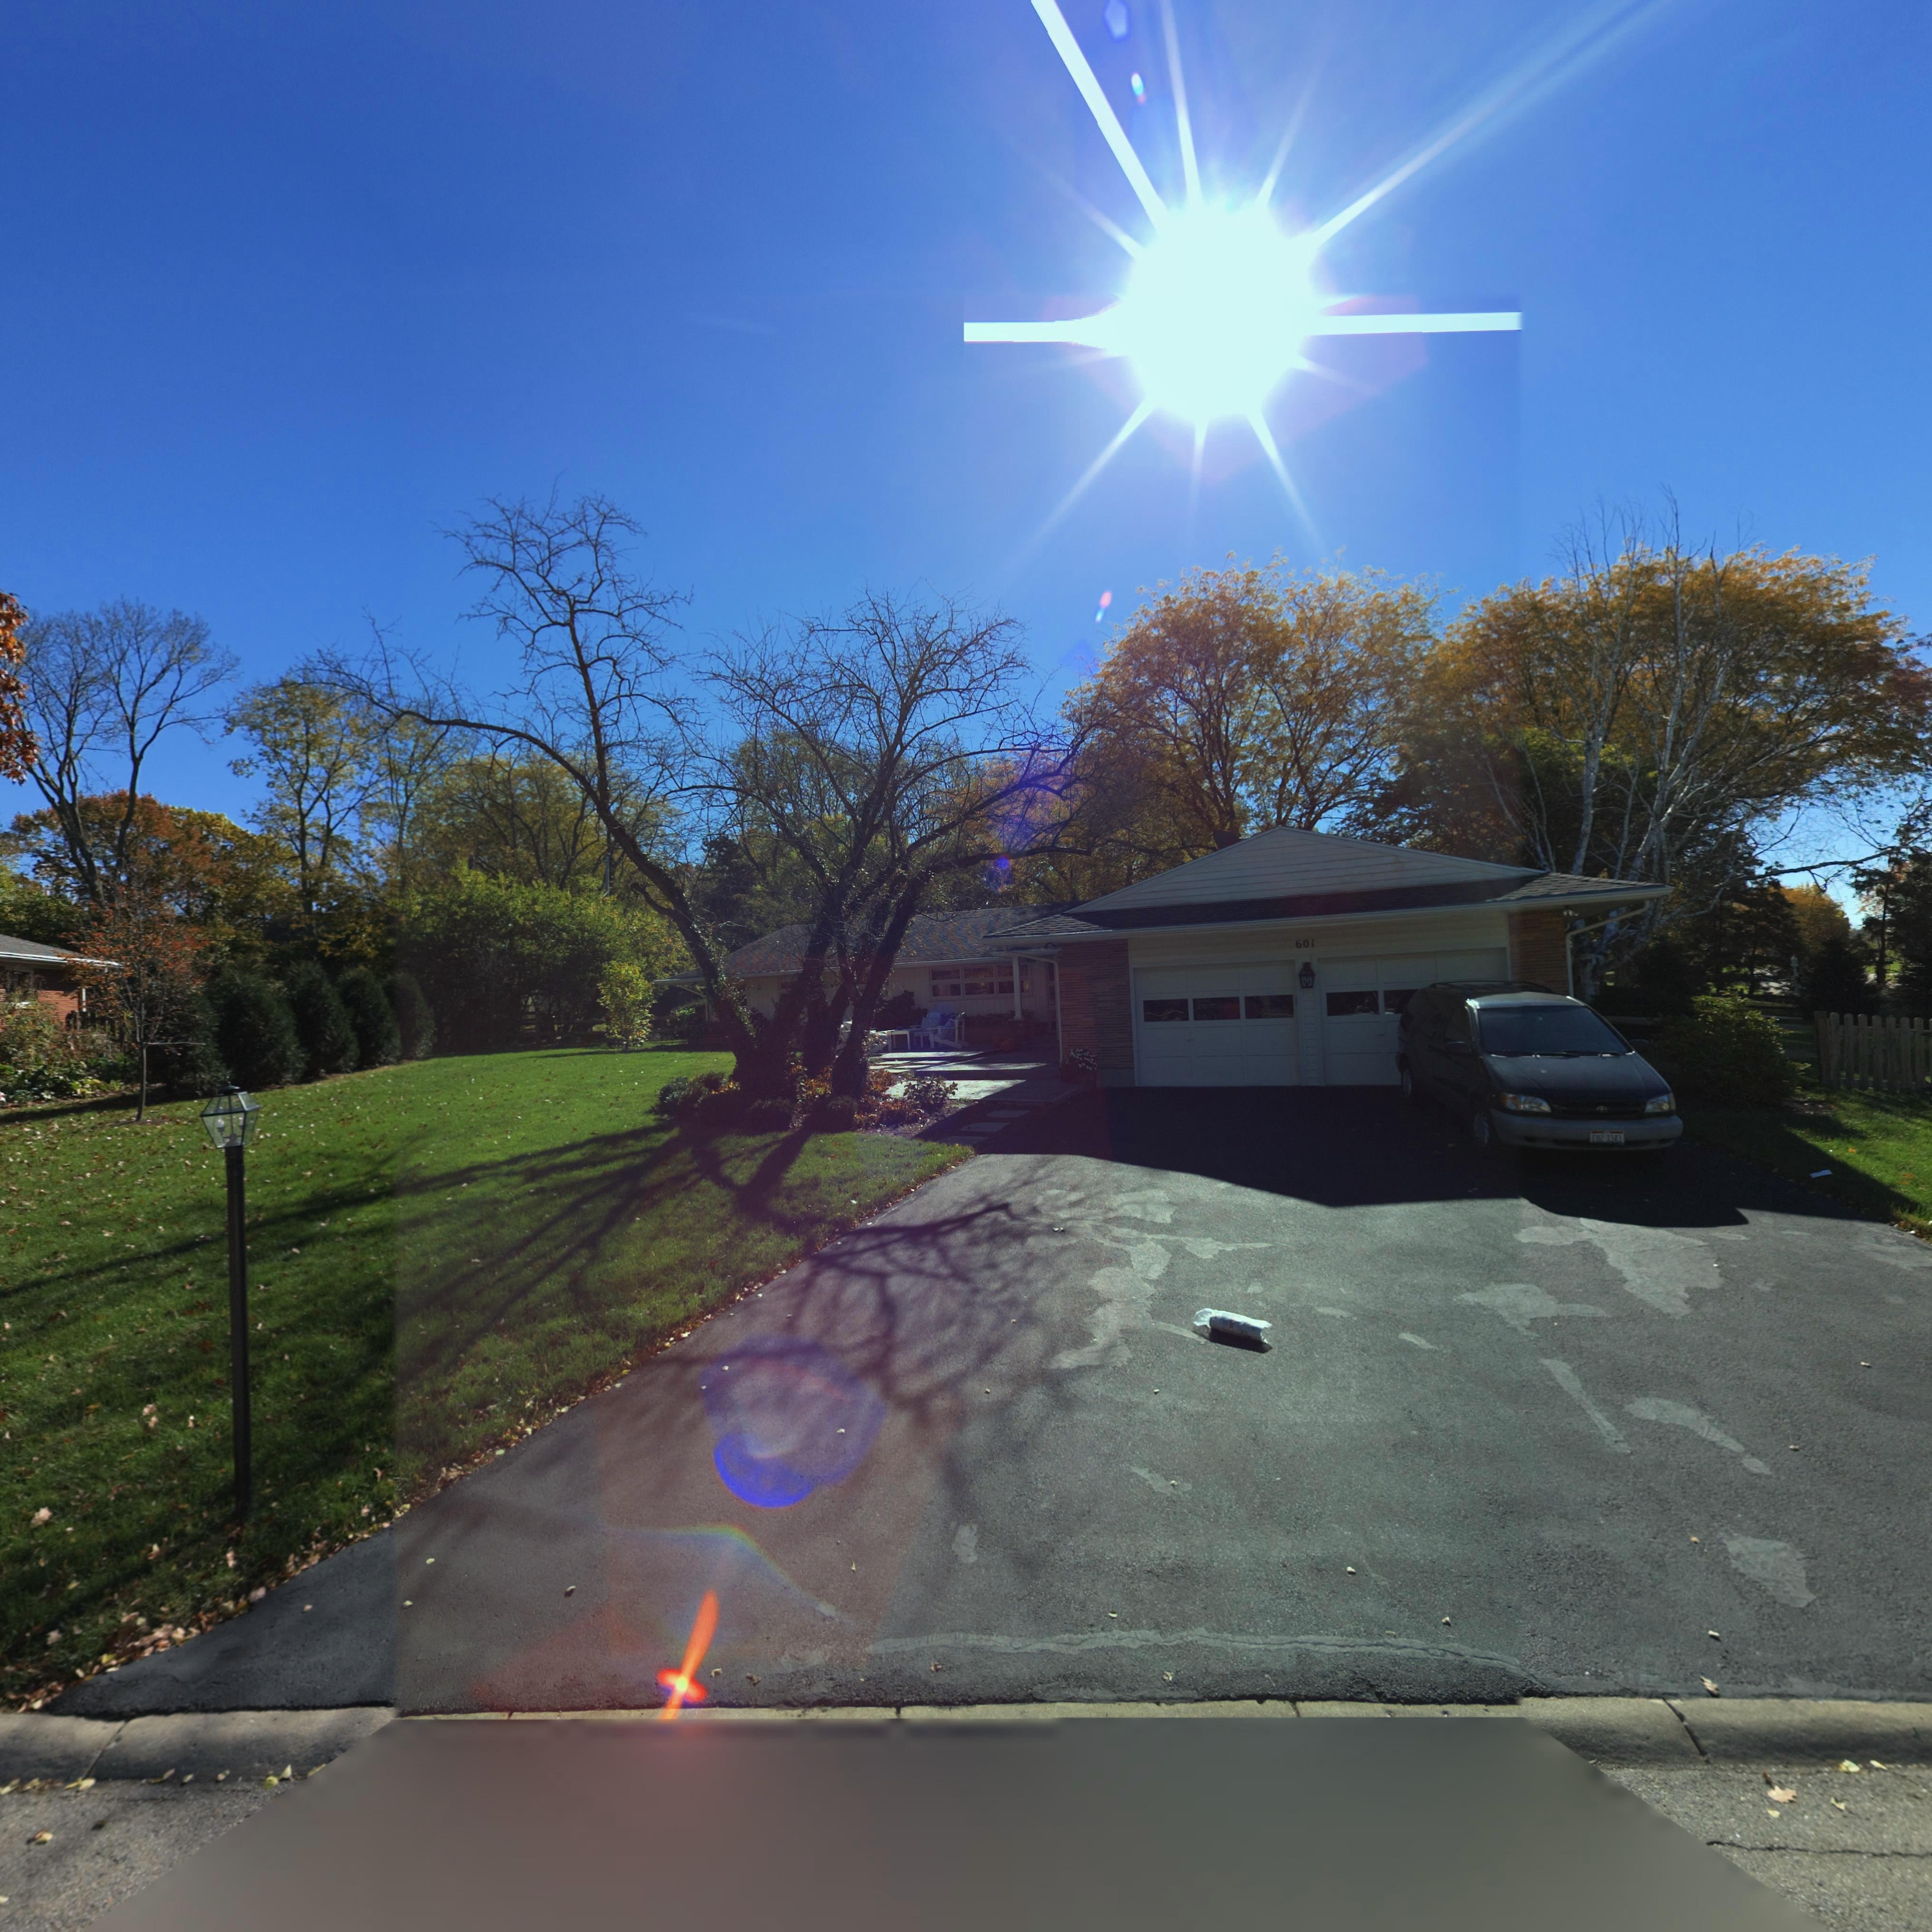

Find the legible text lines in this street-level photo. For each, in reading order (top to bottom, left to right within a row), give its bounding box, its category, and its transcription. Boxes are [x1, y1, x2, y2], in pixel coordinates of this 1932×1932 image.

[1295, 937, 1315, 949] StreetNumber: 601